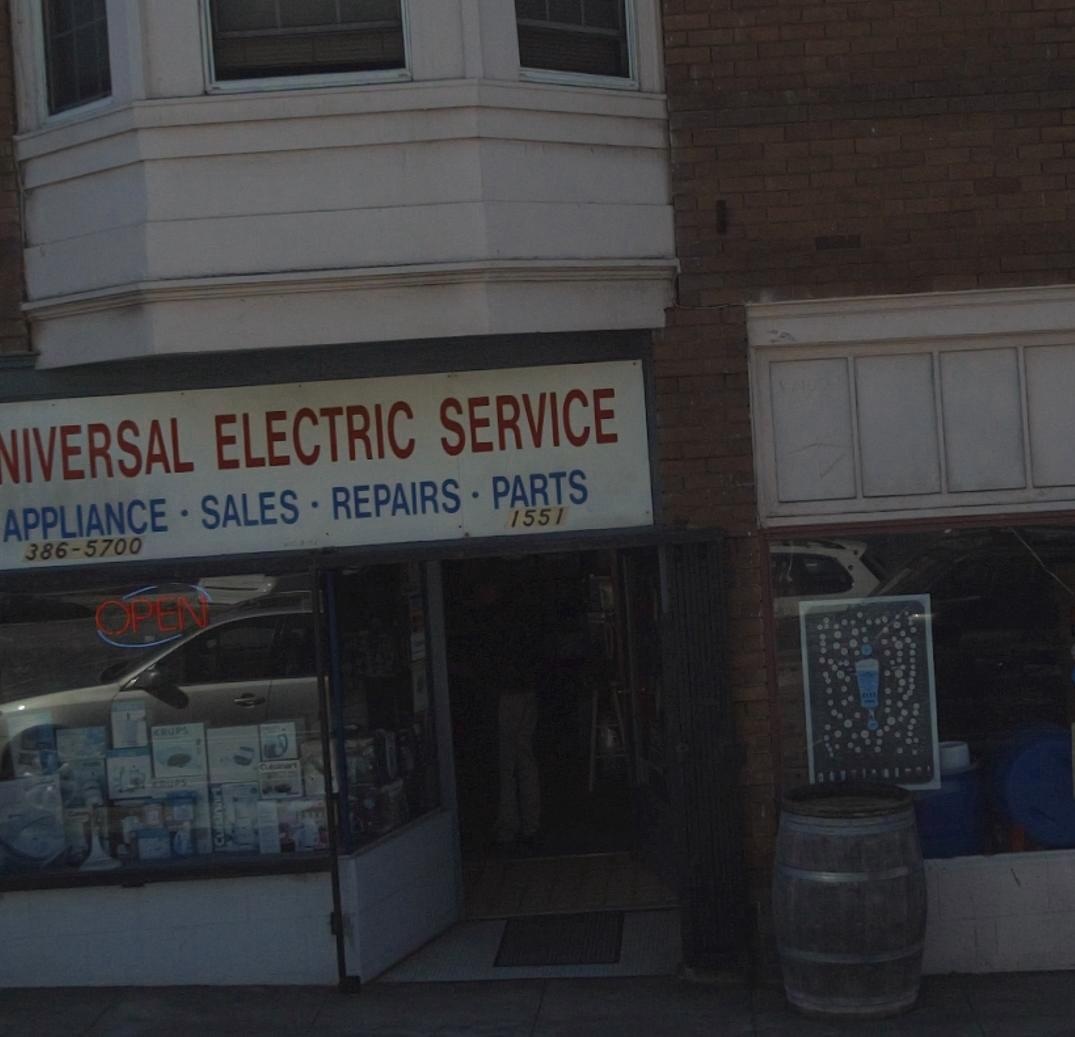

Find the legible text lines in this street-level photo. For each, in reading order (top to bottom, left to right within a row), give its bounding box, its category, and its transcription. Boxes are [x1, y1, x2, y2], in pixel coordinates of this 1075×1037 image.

[19, 384, 622, 487] BusinessName: IVERSAL ELECTIC SERVICE
[1, 468, 589, 546] None: APPLIANCE*SALES*REPAIRS*PARTS
[509, 507, 565, 529] StreetNumber: 1551
[22, 535, 146, 562] None: 386-5700
[92, 593, 208, 638] None: OPEN
[152, 724, 190, 739] None: CRUPS
[152, 778, 189, 789] None: CRUPS
[210, 785, 226, 848] None: Cuisinart